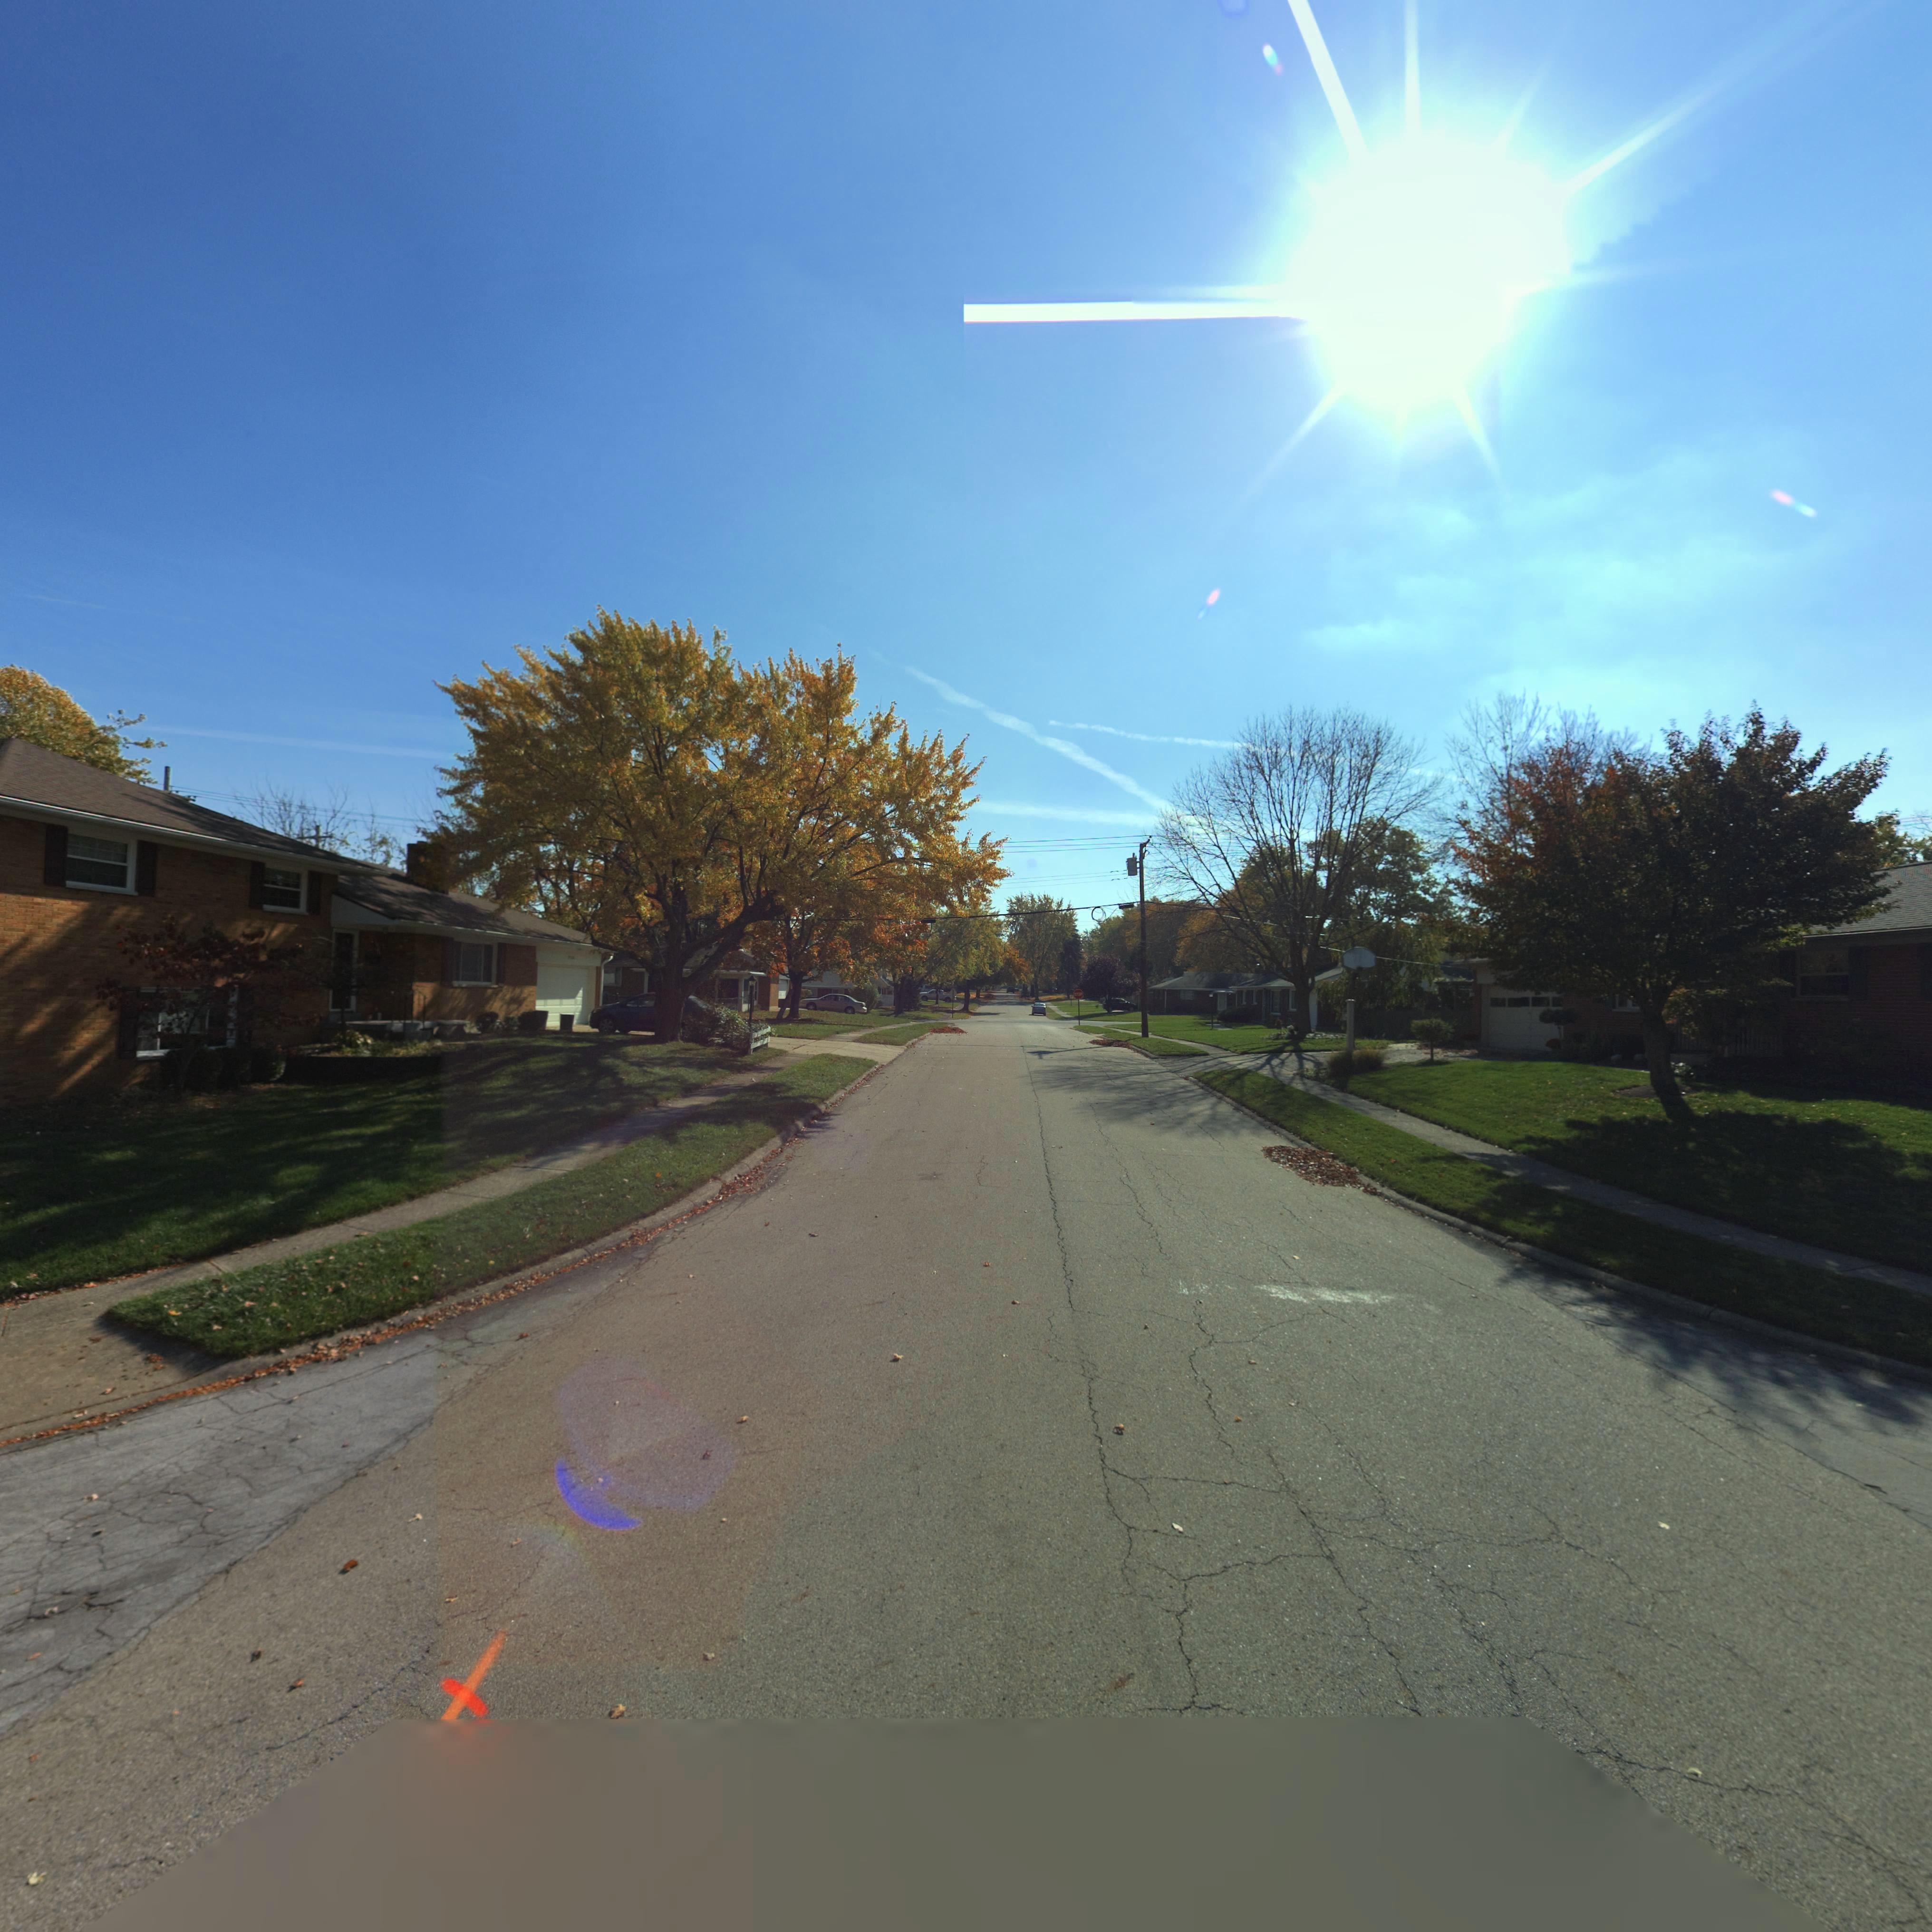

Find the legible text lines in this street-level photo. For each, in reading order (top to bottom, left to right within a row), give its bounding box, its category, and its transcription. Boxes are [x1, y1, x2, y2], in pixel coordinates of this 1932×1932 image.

[1073, 992, 1083, 997] None: STOP